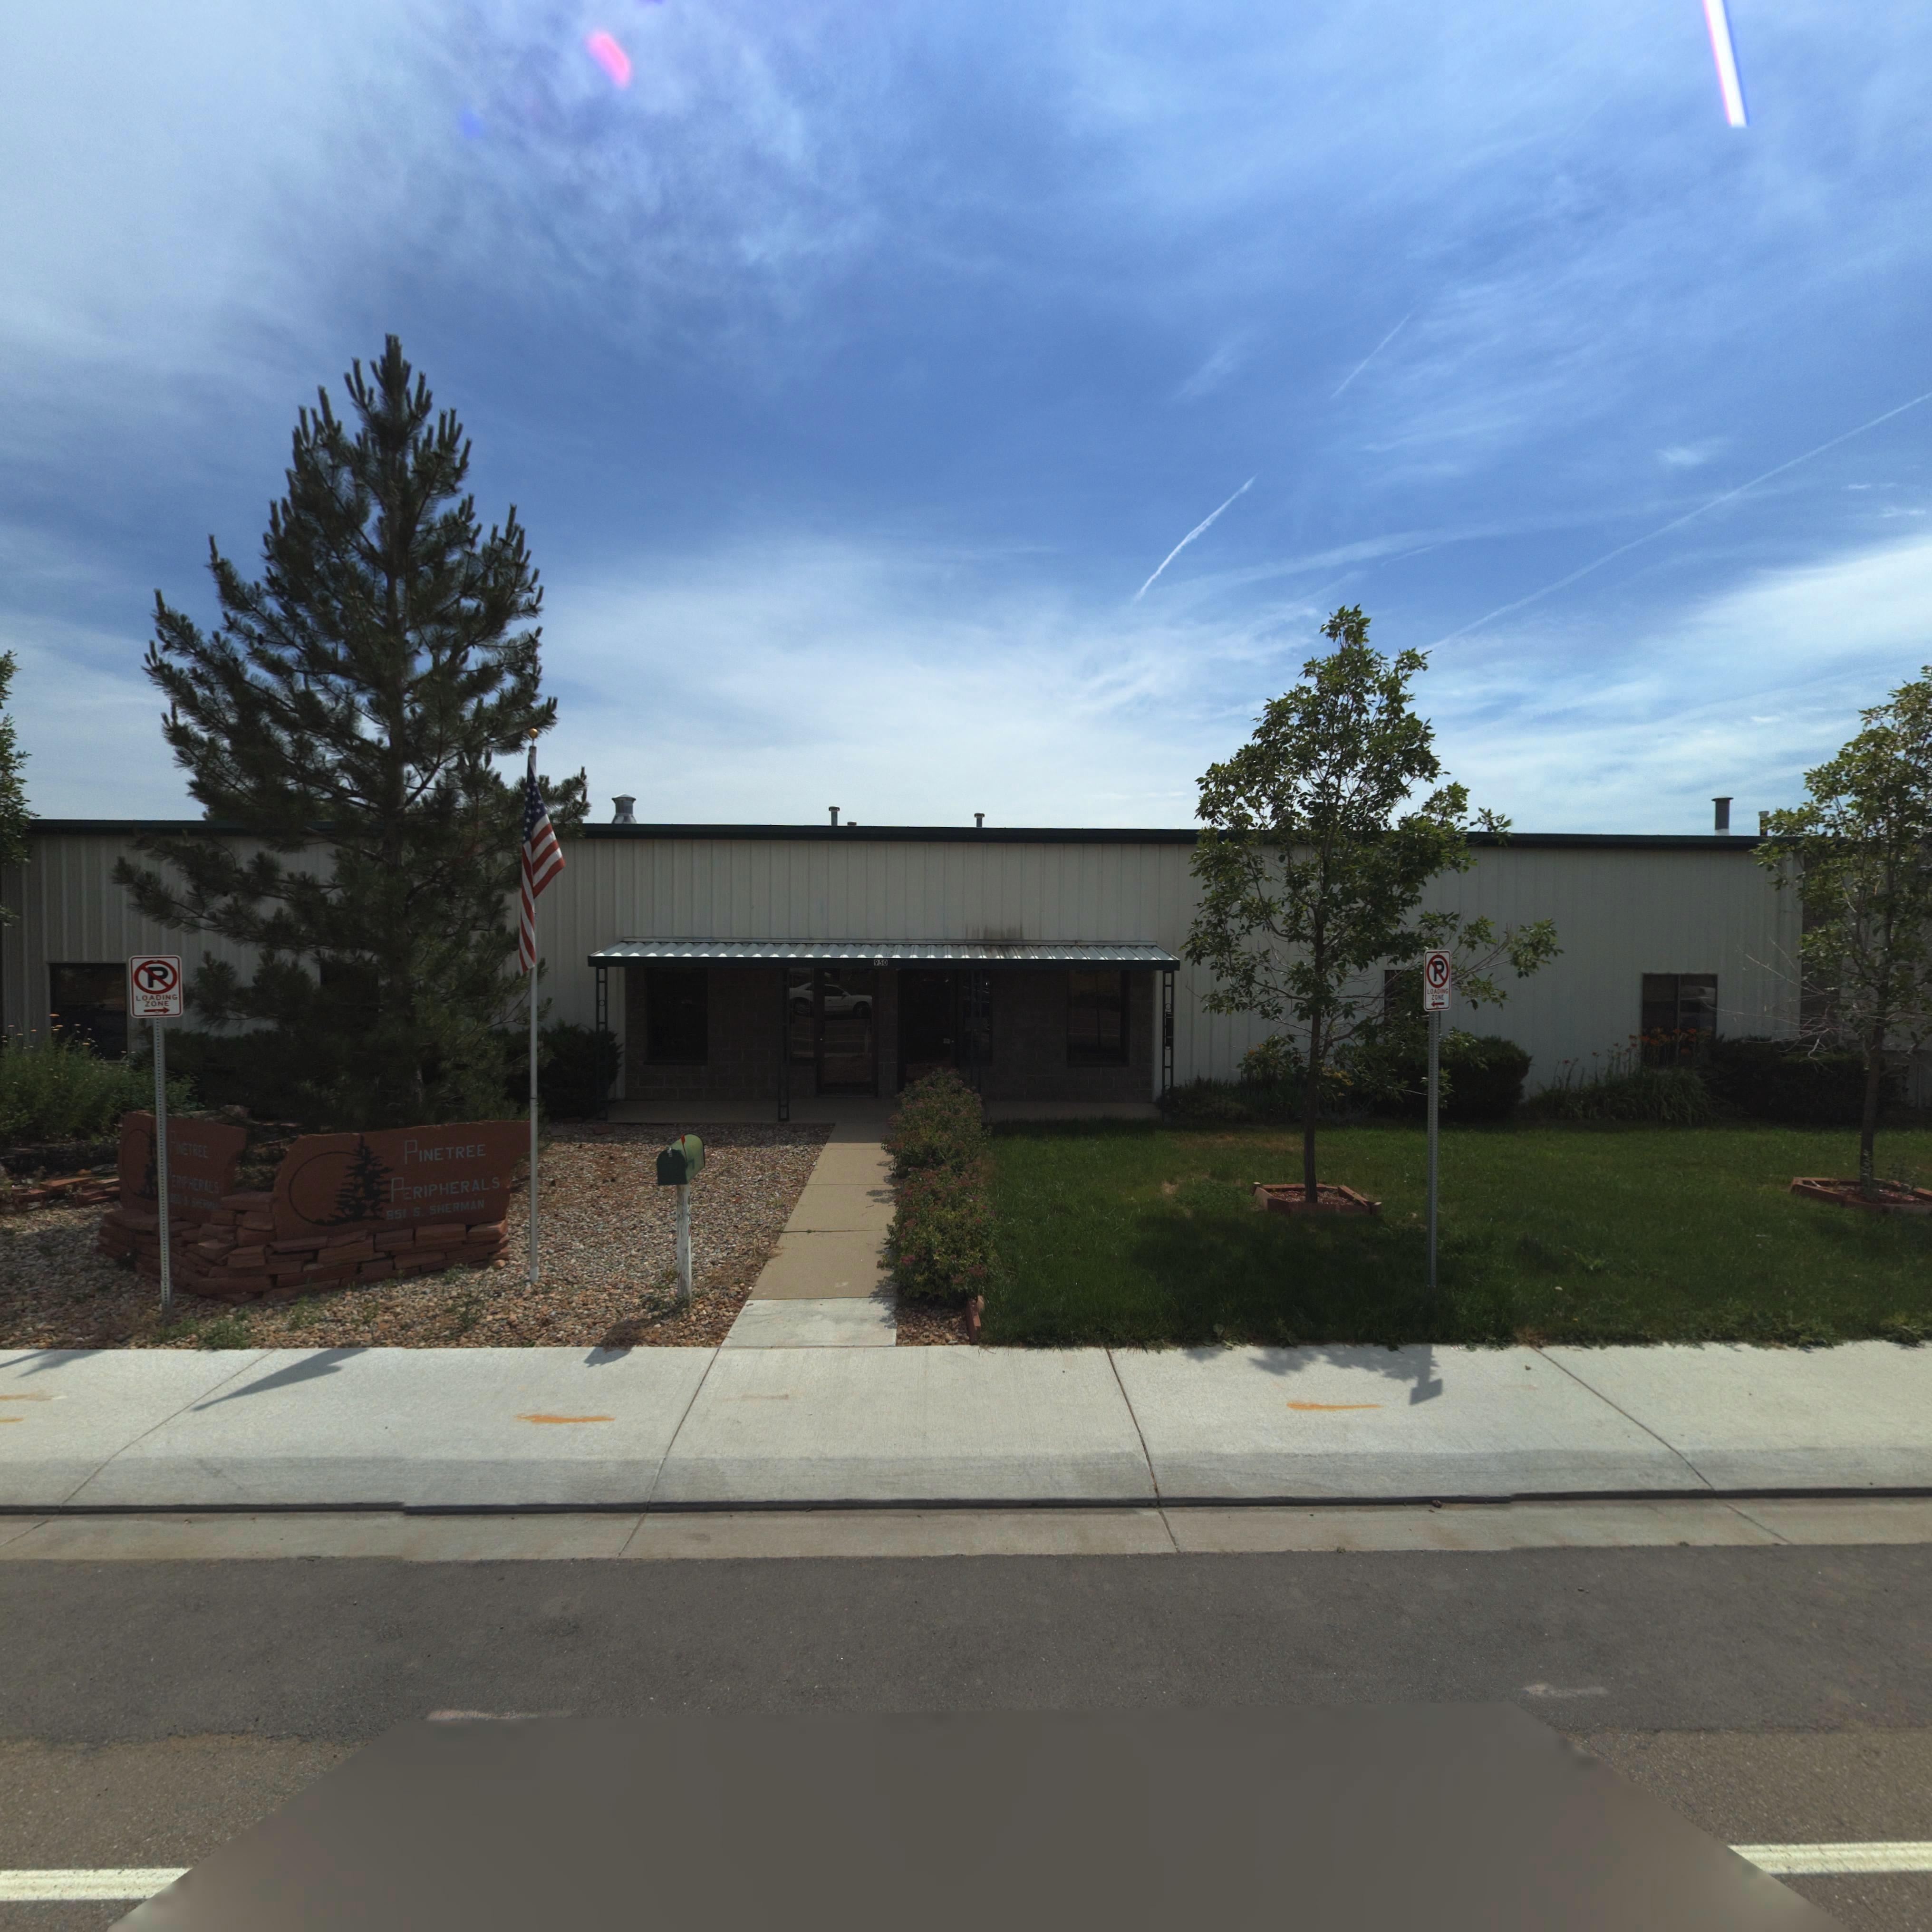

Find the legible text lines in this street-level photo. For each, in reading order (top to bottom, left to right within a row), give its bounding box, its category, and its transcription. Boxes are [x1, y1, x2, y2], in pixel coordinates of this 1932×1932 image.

[874, 959, 887, 966] StreetNumber: 950
[169, 1130, 208, 1159] BusinessName: PINETREE
[404, 1139, 486, 1165] BusinessName: PINETREE
[170, 1174, 219, 1195] BusinessName: ERIPHERALS
[390, 1176, 501, 1204] BusinessName: PERIPHERALS
[182, 1196, 216, 1212] StreetName: S SHERMA
[386, 1209, 407, 1220] StreetNumber: 851
[413, 1198, 484, 1218] StreetName: S SHERMAN